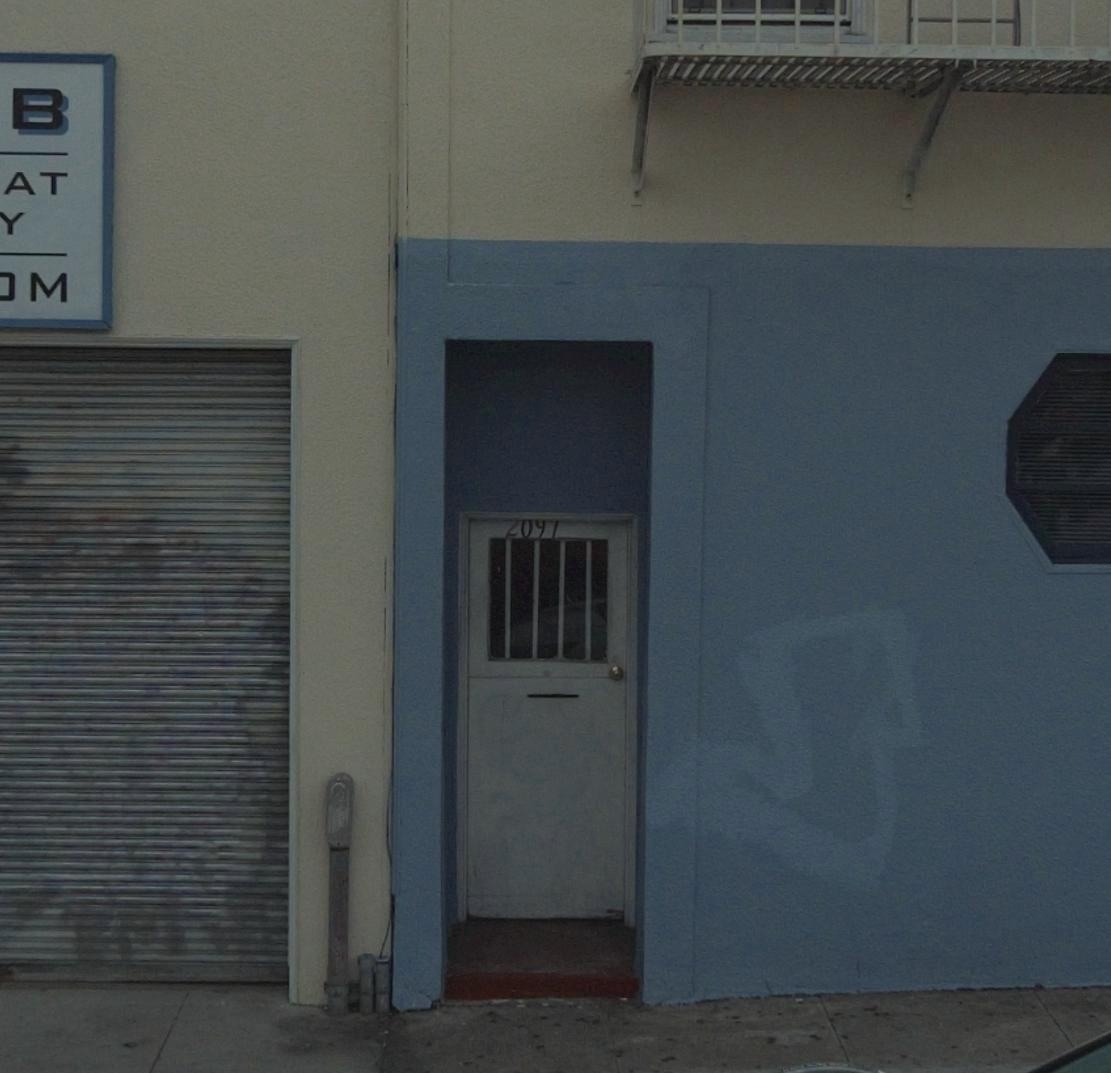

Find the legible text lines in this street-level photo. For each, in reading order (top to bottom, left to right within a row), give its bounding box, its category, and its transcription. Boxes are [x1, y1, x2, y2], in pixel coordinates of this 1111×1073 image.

[10, 84, 65, 130] None: B
[0, 169, 70, 197] None: AT
[28, 269, 69, 304] None: M